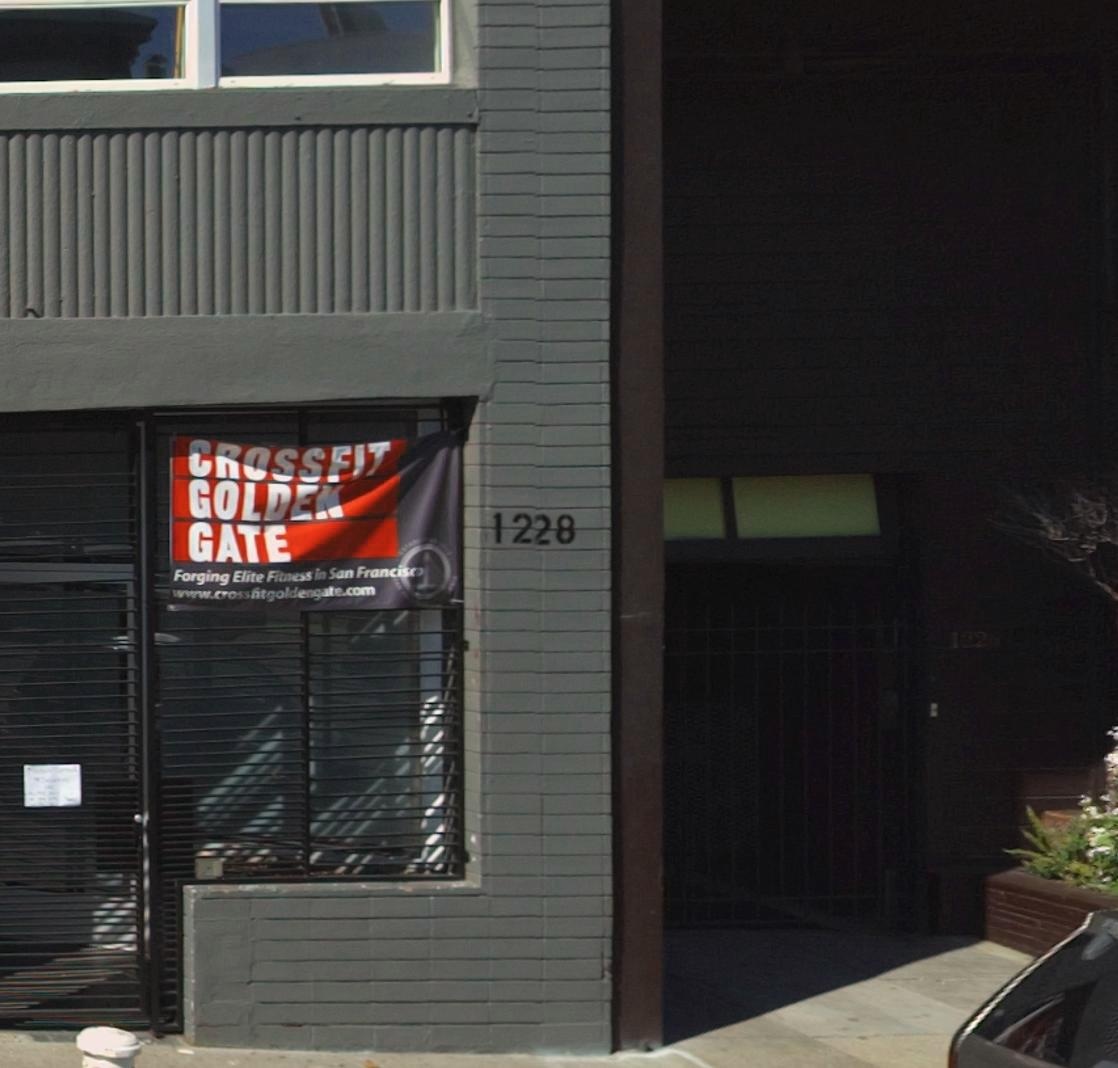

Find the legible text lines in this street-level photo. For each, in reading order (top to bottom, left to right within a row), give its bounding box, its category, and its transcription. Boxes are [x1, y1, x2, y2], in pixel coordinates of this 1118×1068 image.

[182, 433, 397, 490] BusinessName: CROSSFIT
[183, 472, 349, 527] BusinessName: GOLDEN
[182, 514, 298, 569] BusinessName: GATE
[490, 509, 581, 548] StreetNumber: 1228
[169, 580, 381, 606] None: www.crossfitgoldengate.com
[168, 563, 420, 589] None: Forging Elite Fitness in San Francisc